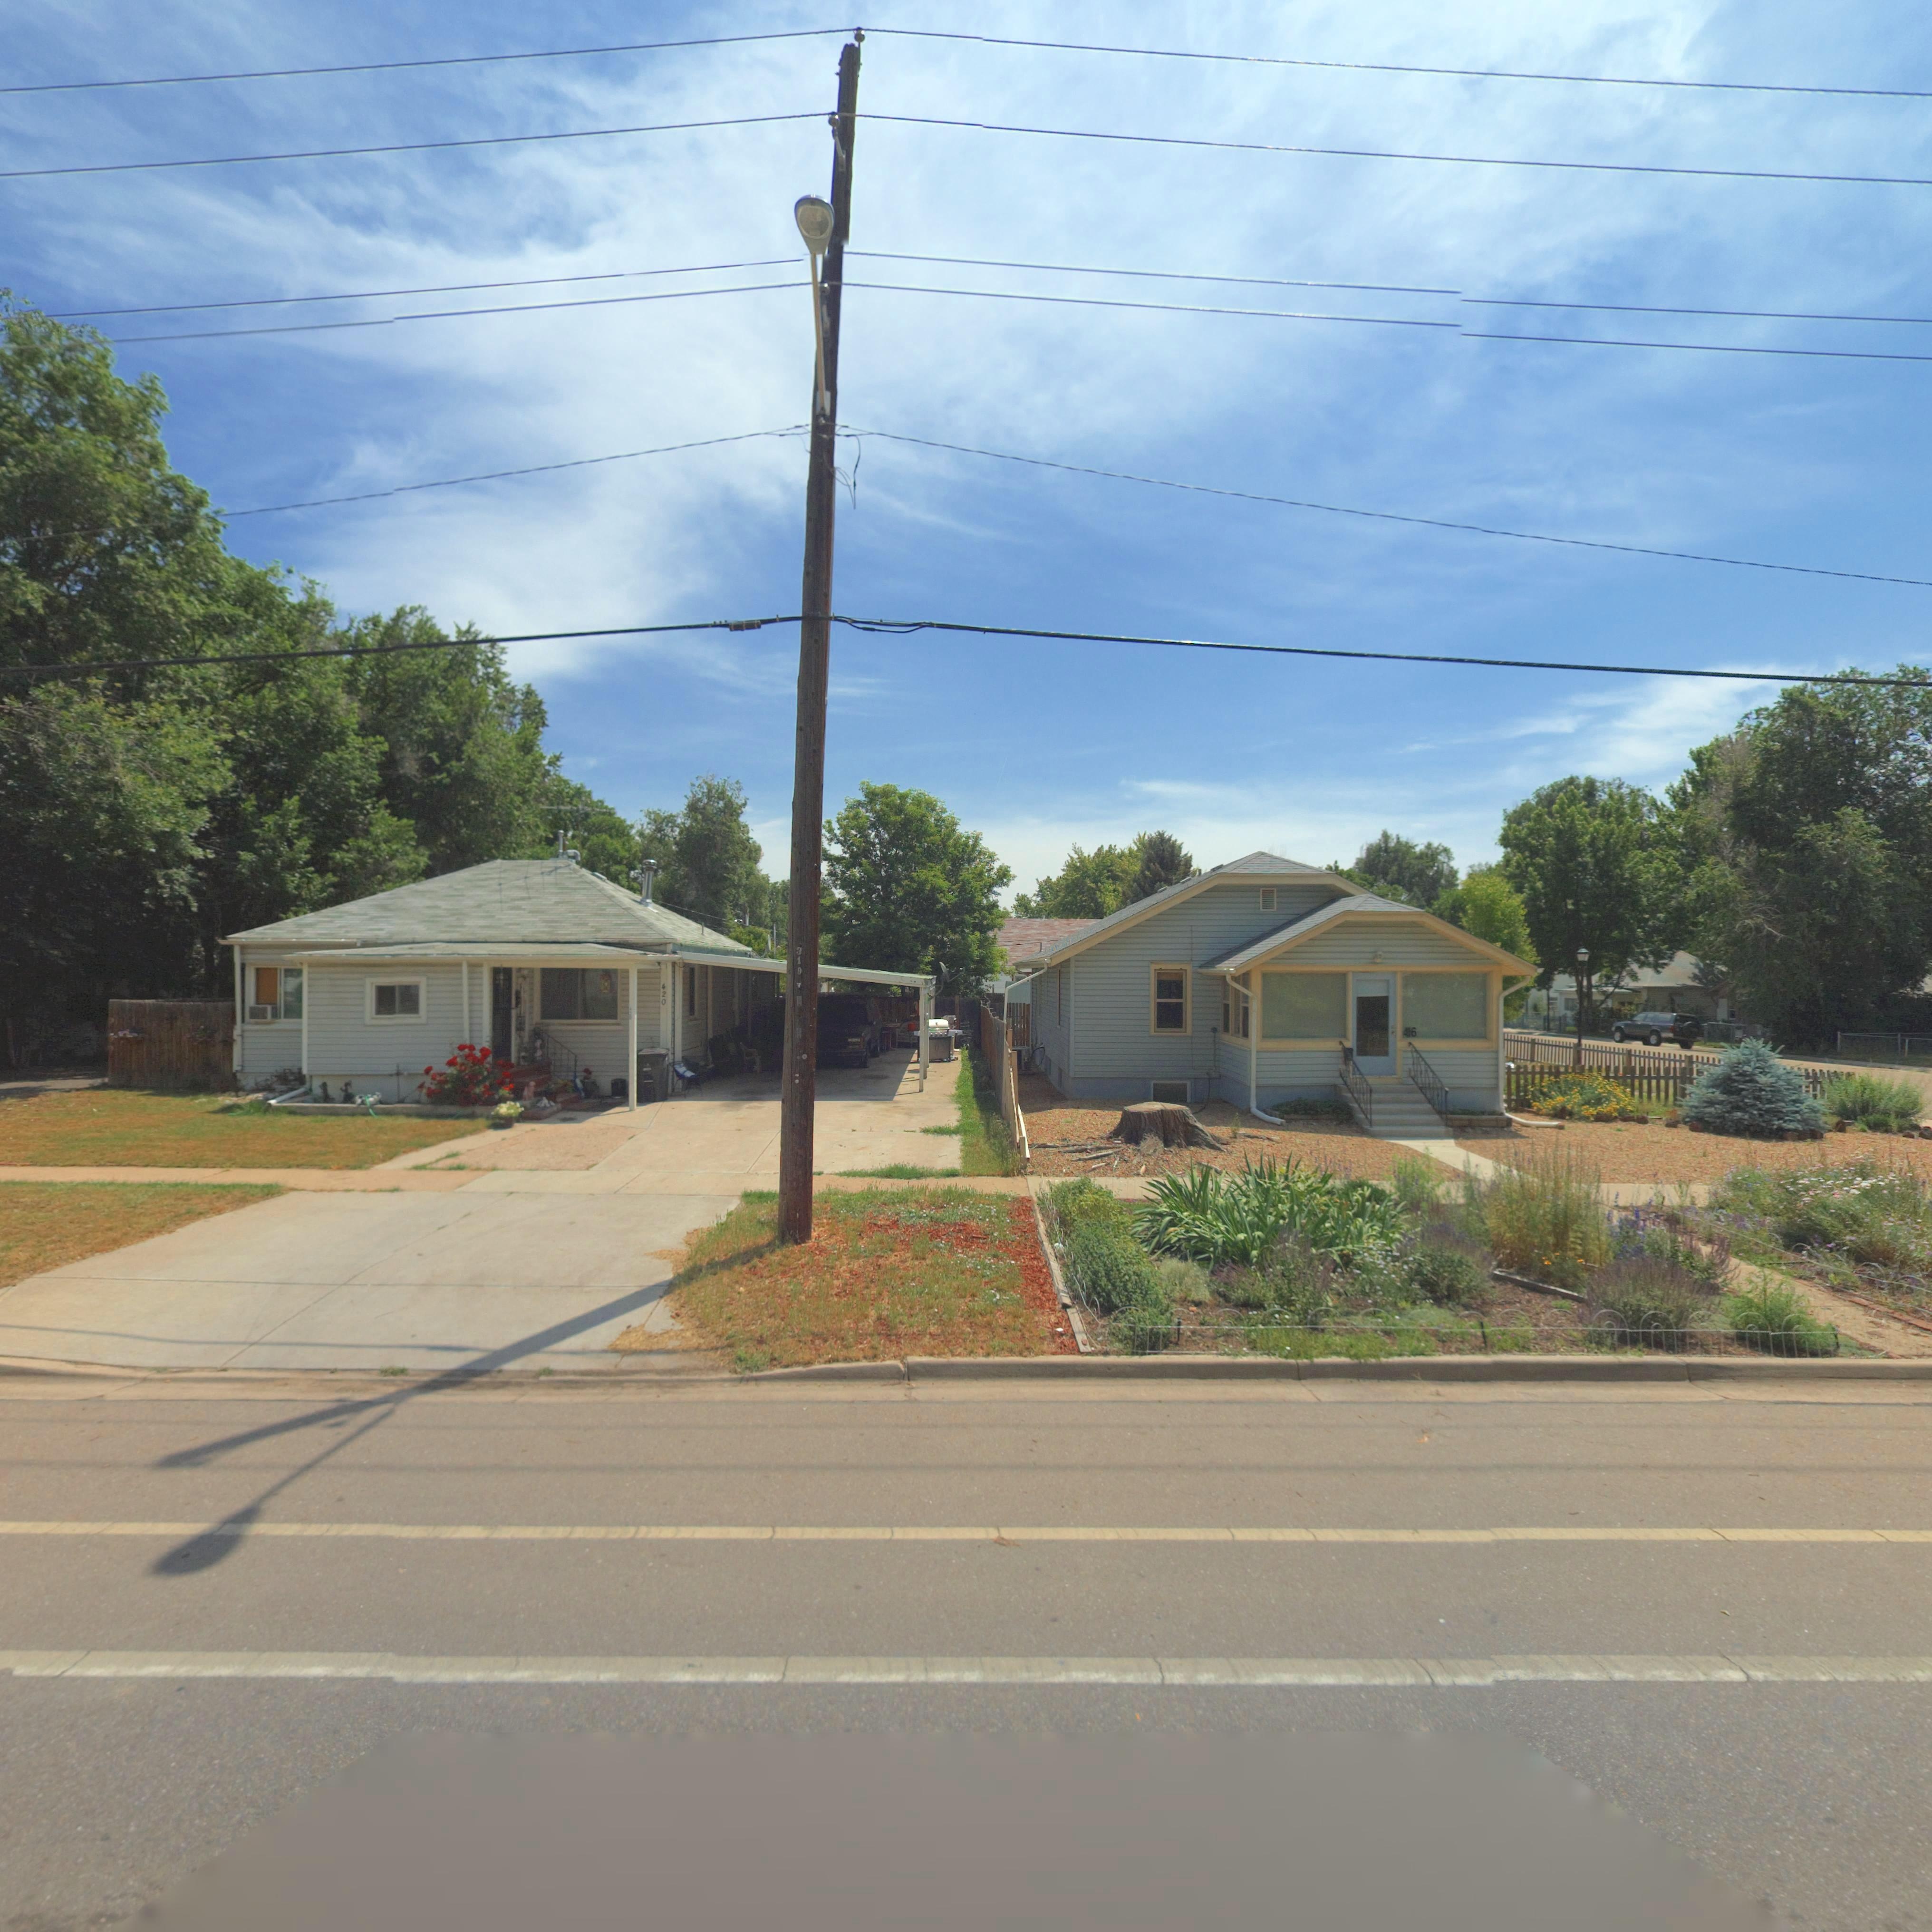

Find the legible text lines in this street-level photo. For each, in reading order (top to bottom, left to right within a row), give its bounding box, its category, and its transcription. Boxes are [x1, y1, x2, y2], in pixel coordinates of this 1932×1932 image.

[661, 983, 666, 1005] StreetNumber: 420
[1403, 1027, 1417, 1037] StreetNumber: 416